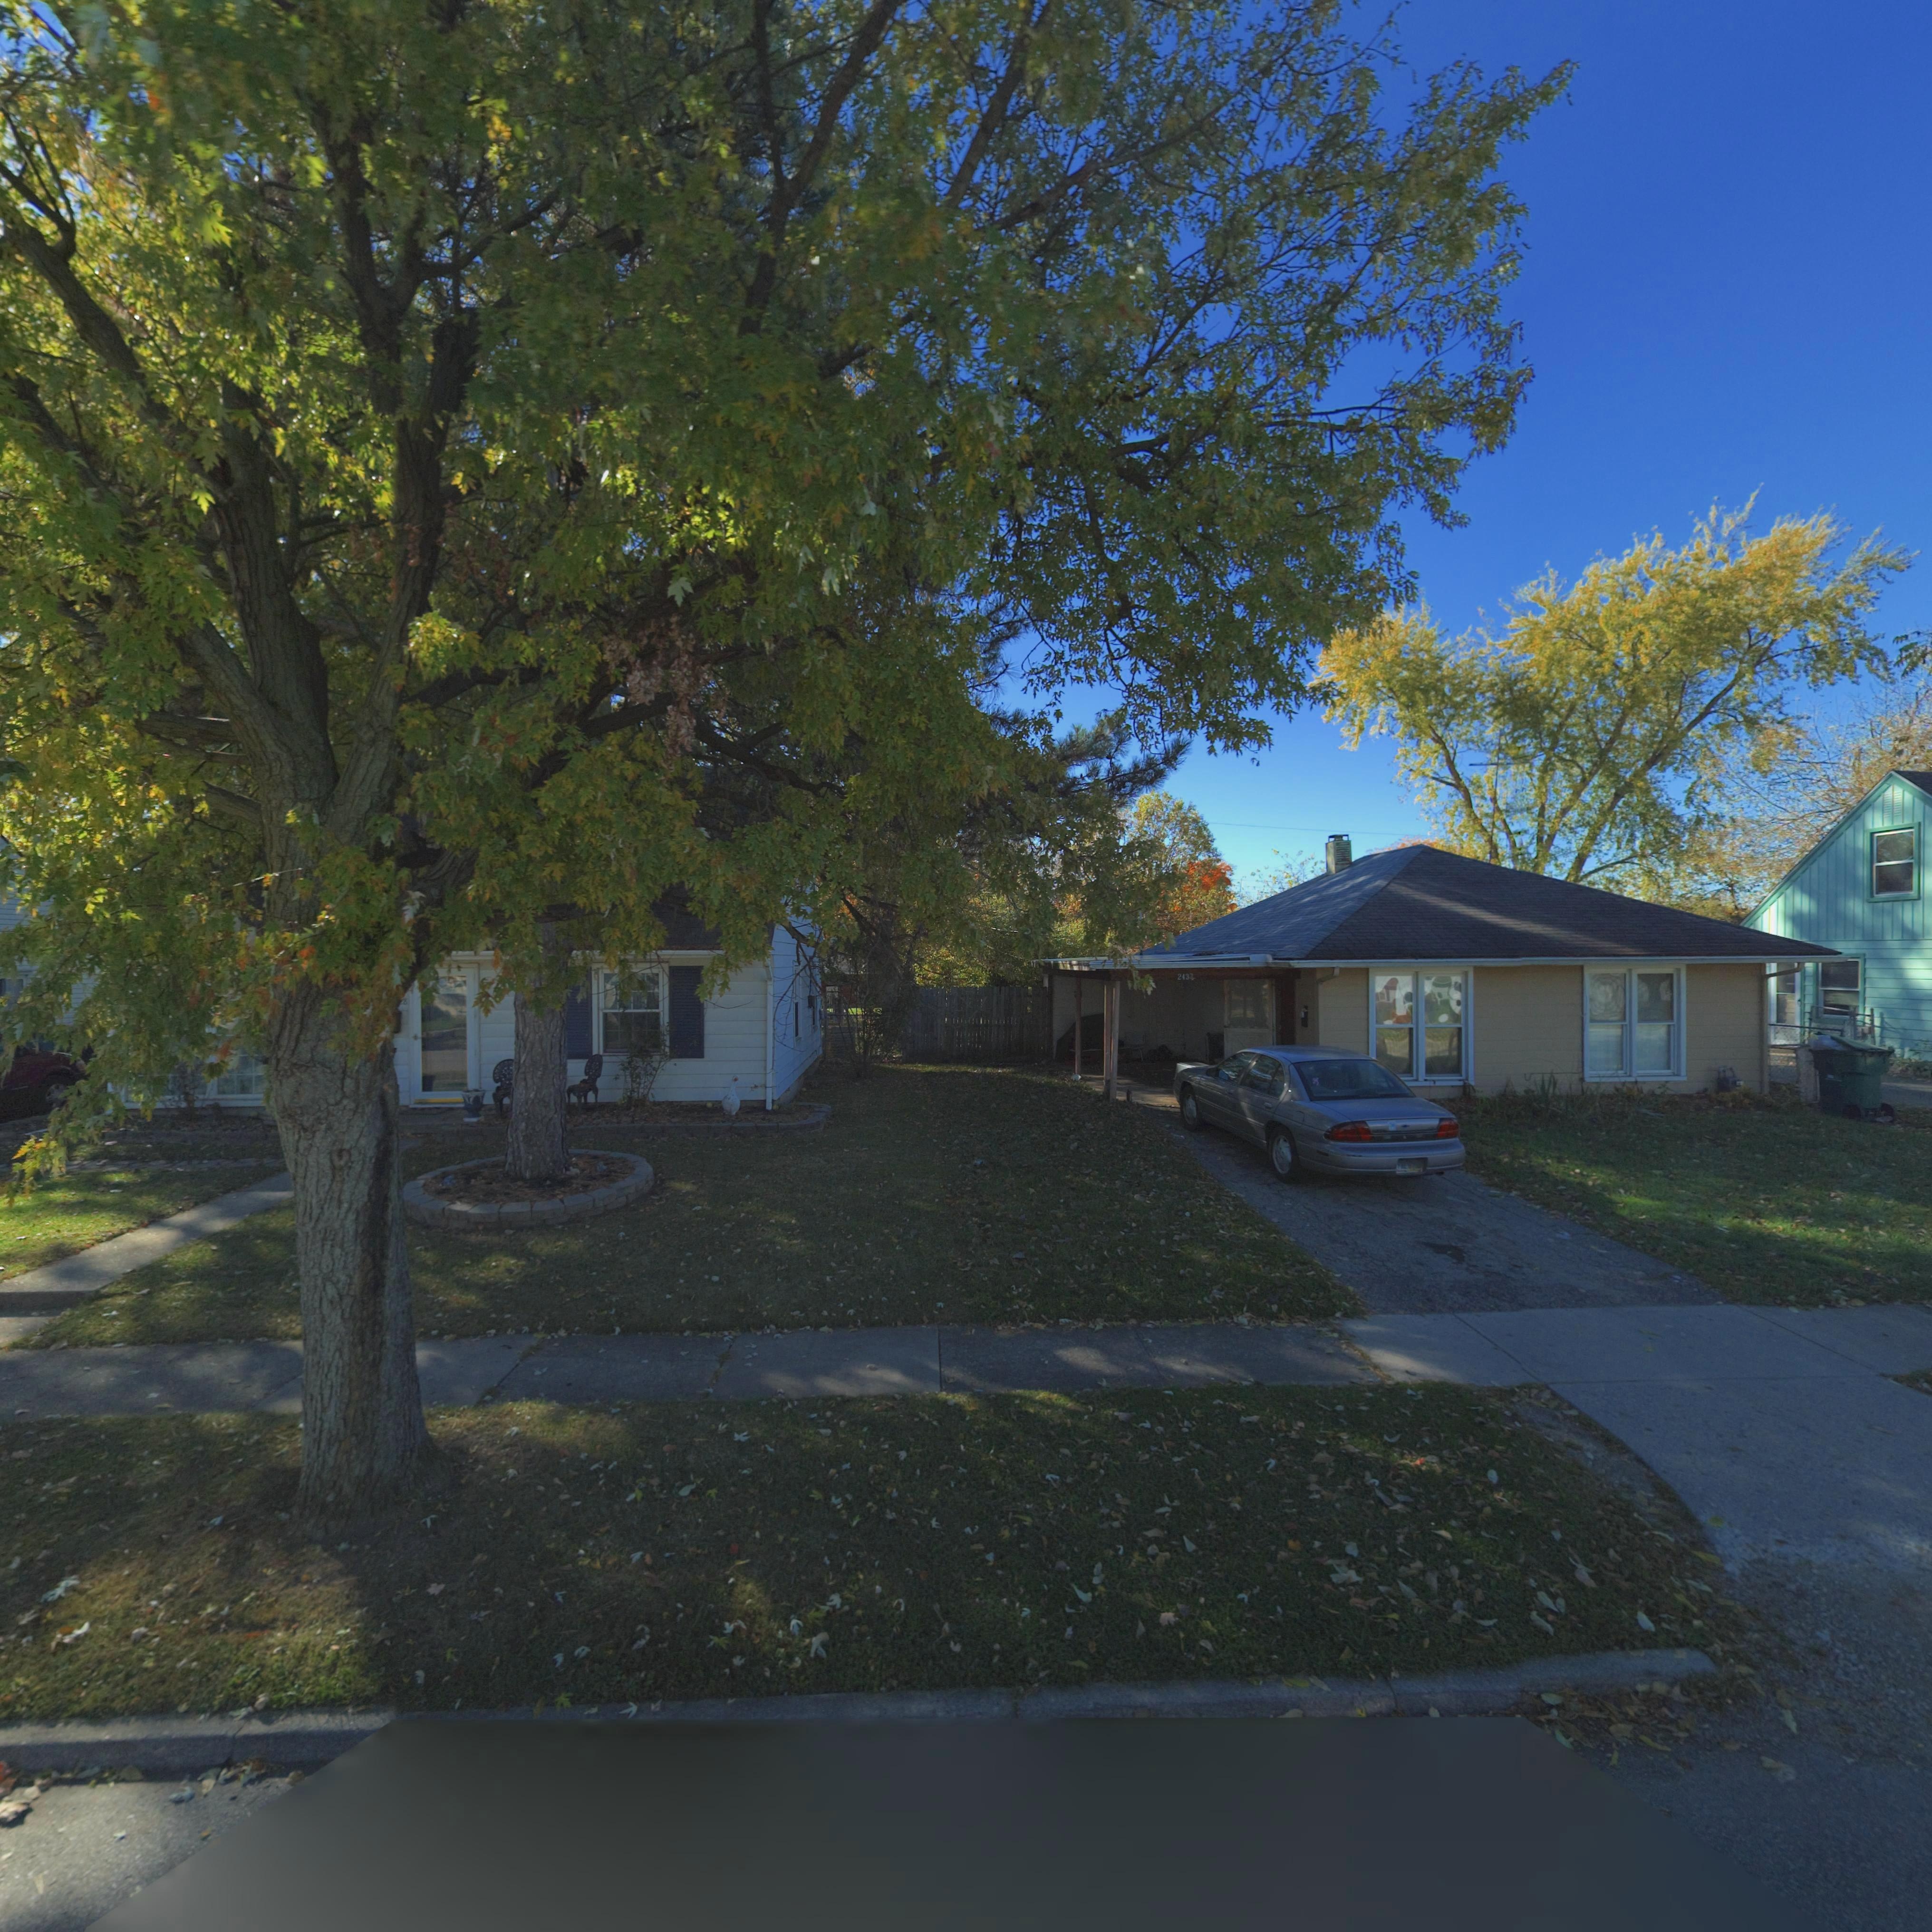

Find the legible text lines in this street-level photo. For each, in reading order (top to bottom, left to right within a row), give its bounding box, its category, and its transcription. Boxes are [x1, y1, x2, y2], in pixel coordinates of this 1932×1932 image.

[1177, 973, 1194, 981] StreetNumber: 243*
[402, 997, 408, 1005] StreetNumber: 8